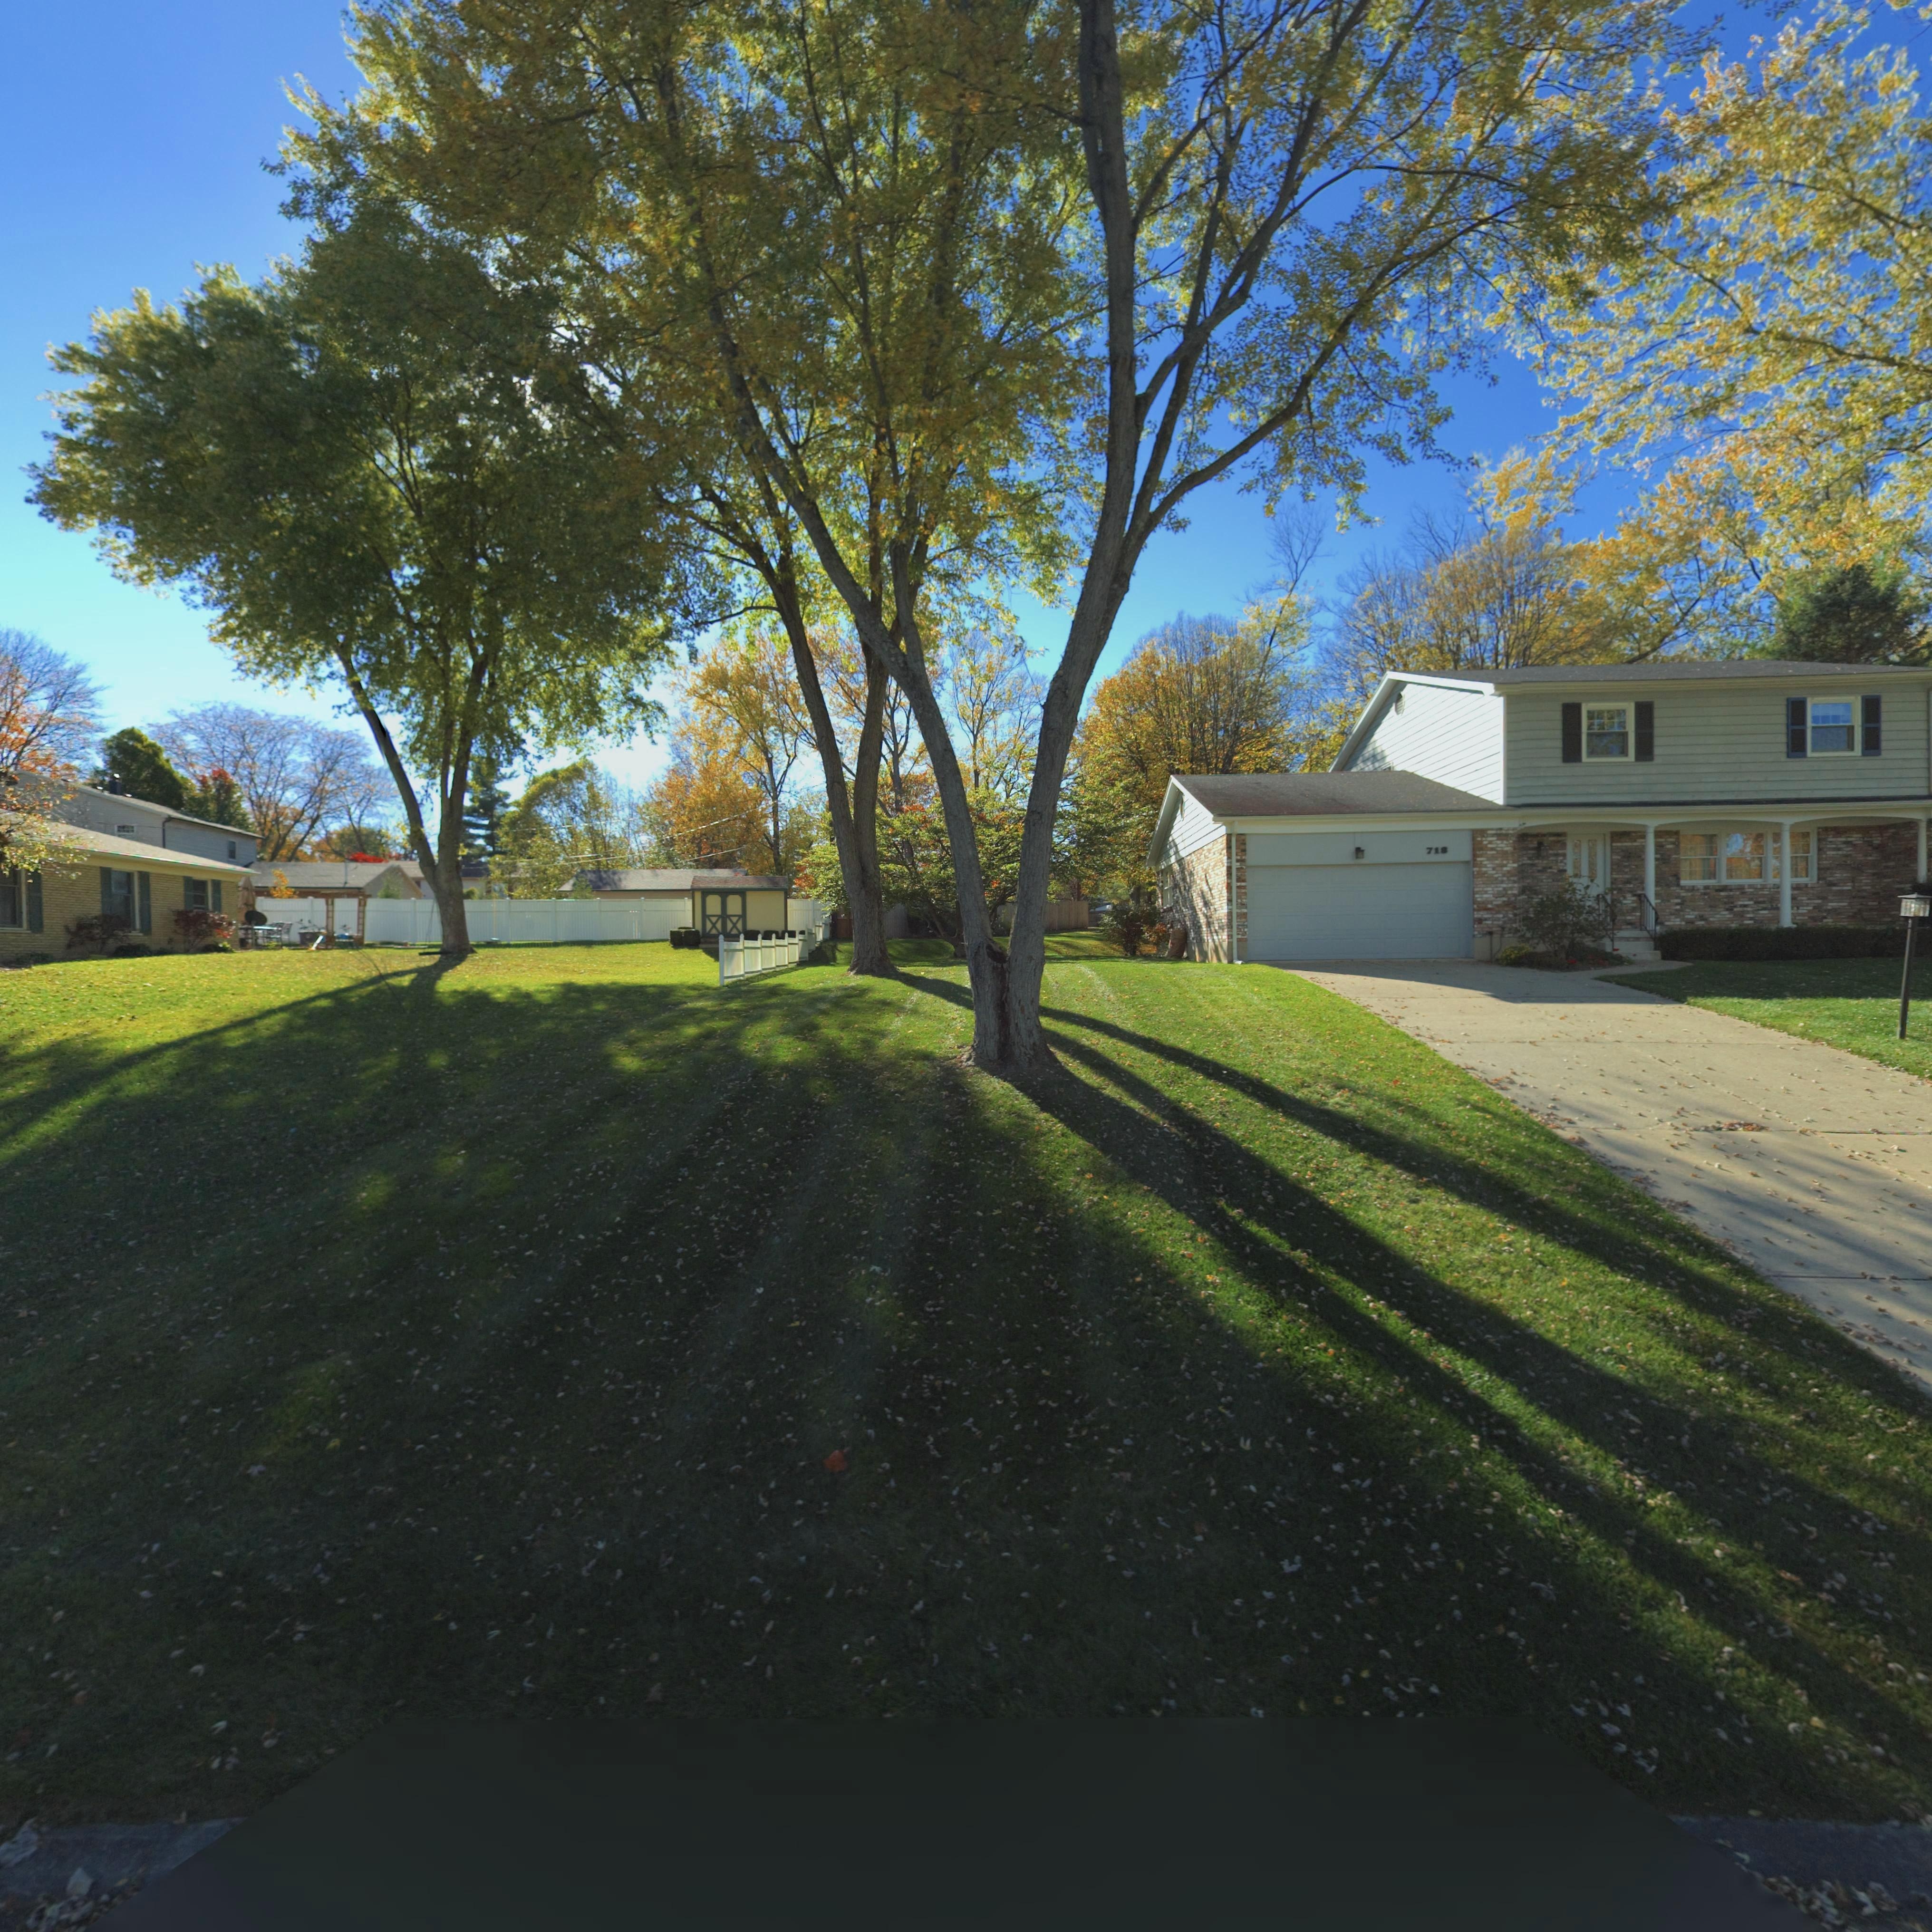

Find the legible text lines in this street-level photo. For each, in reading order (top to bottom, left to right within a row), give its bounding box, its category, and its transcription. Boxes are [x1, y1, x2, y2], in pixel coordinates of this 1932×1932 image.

[1425, 846, 1449, 855] StreetNumber: 718